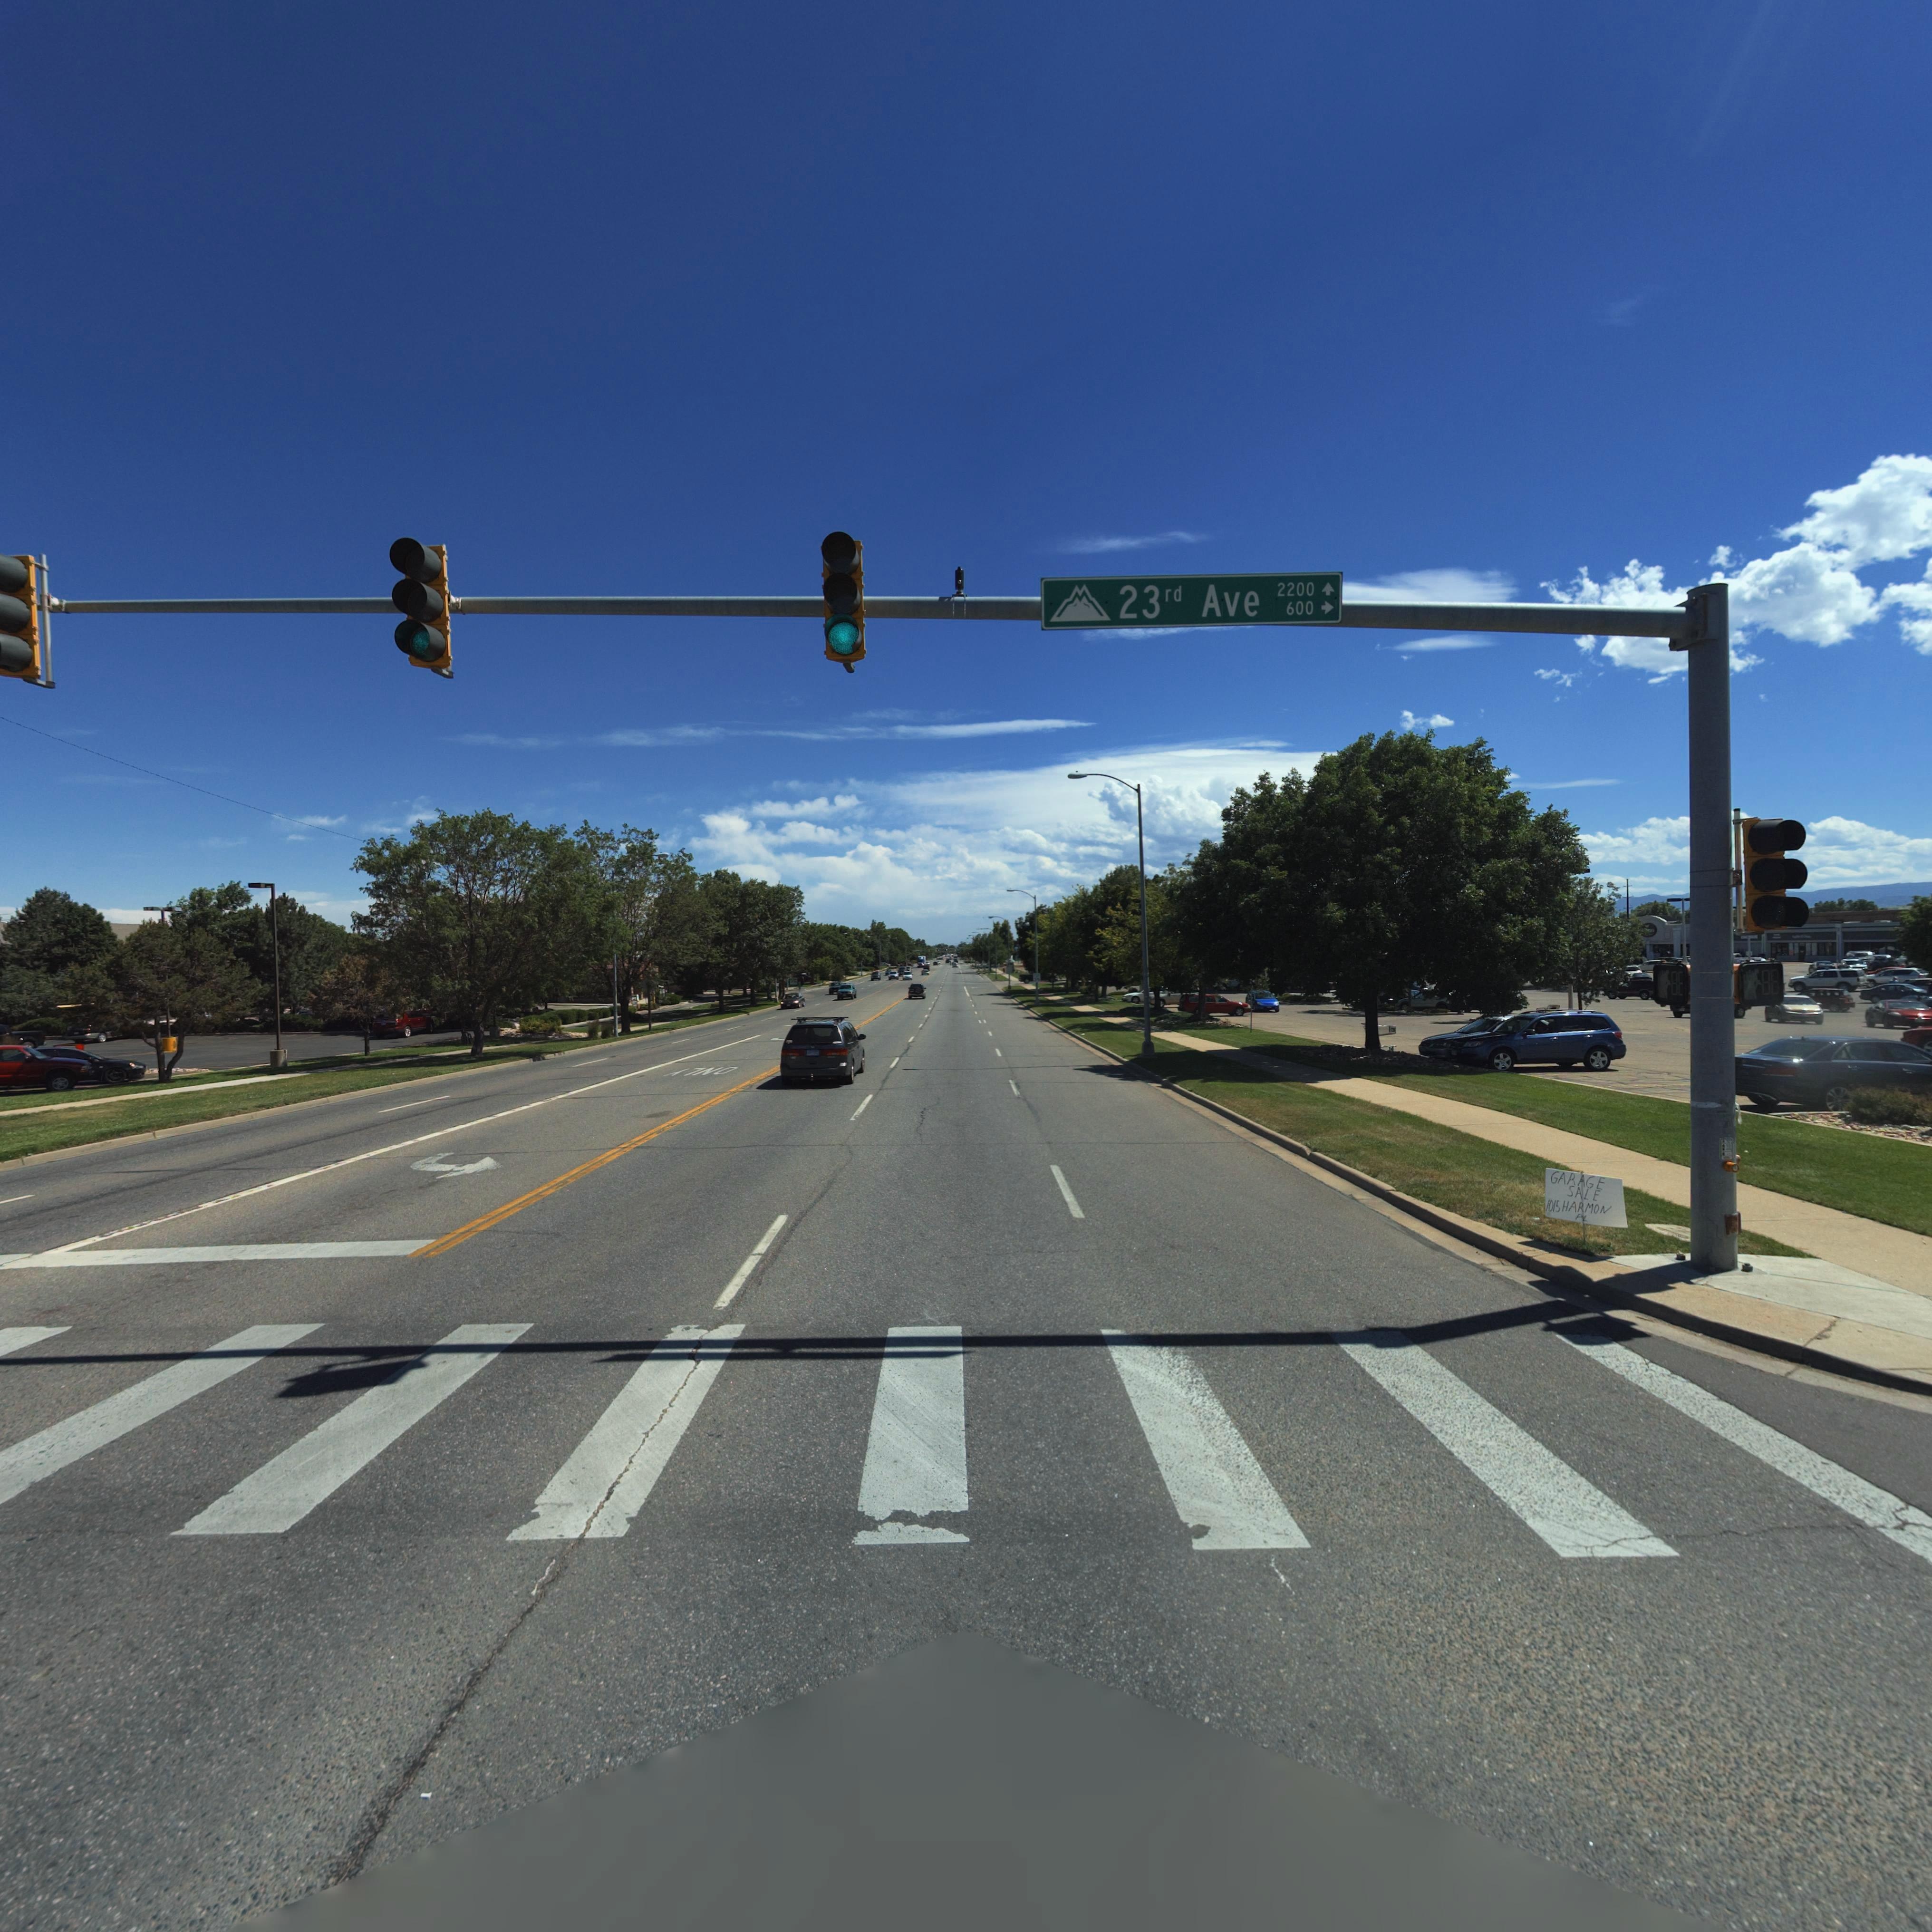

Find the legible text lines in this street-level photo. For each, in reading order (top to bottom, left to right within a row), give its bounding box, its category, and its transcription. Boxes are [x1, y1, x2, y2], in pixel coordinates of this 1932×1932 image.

[1277, 581, 1314, 597] StreetNumberRange: 2200
[1117, 583, 1260, 620] StreetName: 23rd Ave
[1285, 600, 1334, 616] StreetNumberRange: 600 ->